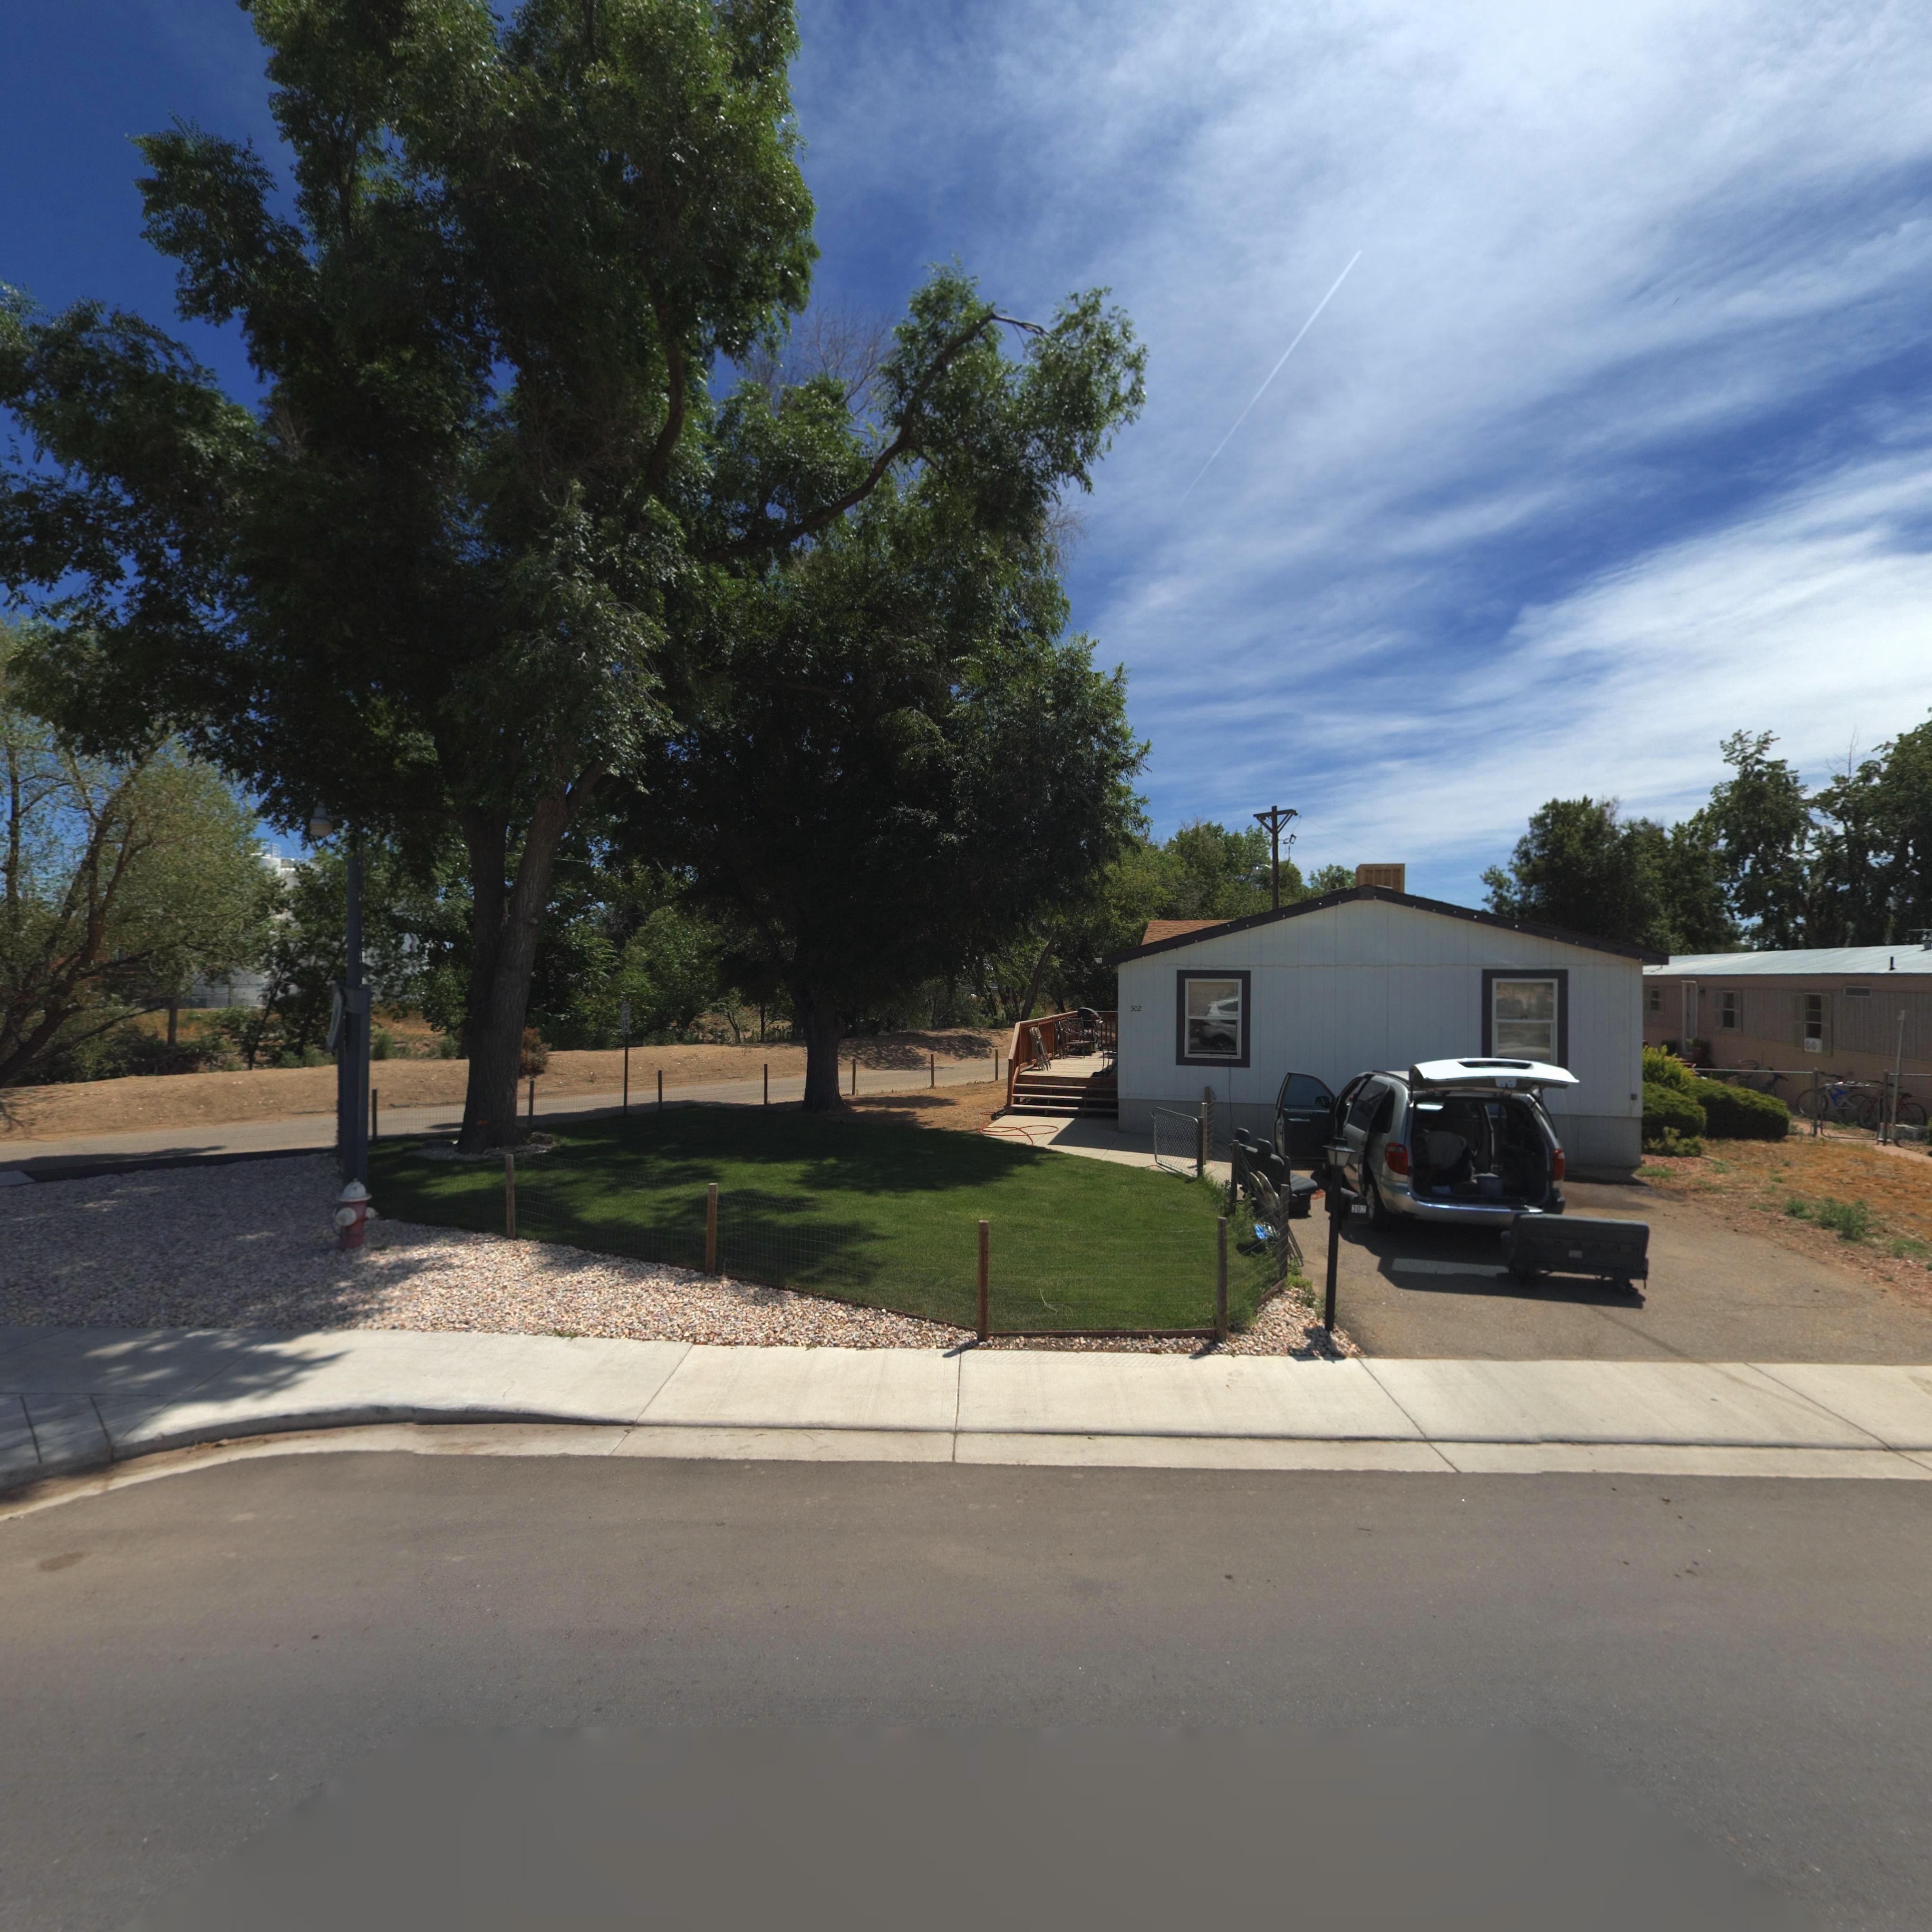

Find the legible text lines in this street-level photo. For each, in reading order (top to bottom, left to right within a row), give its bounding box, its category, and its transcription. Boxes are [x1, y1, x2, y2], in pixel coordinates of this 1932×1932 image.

[1130, 1005, 1142, 1012] StreetNumber: 302
[1351, 1205, 1367, 1213] StreetNumber: 30*